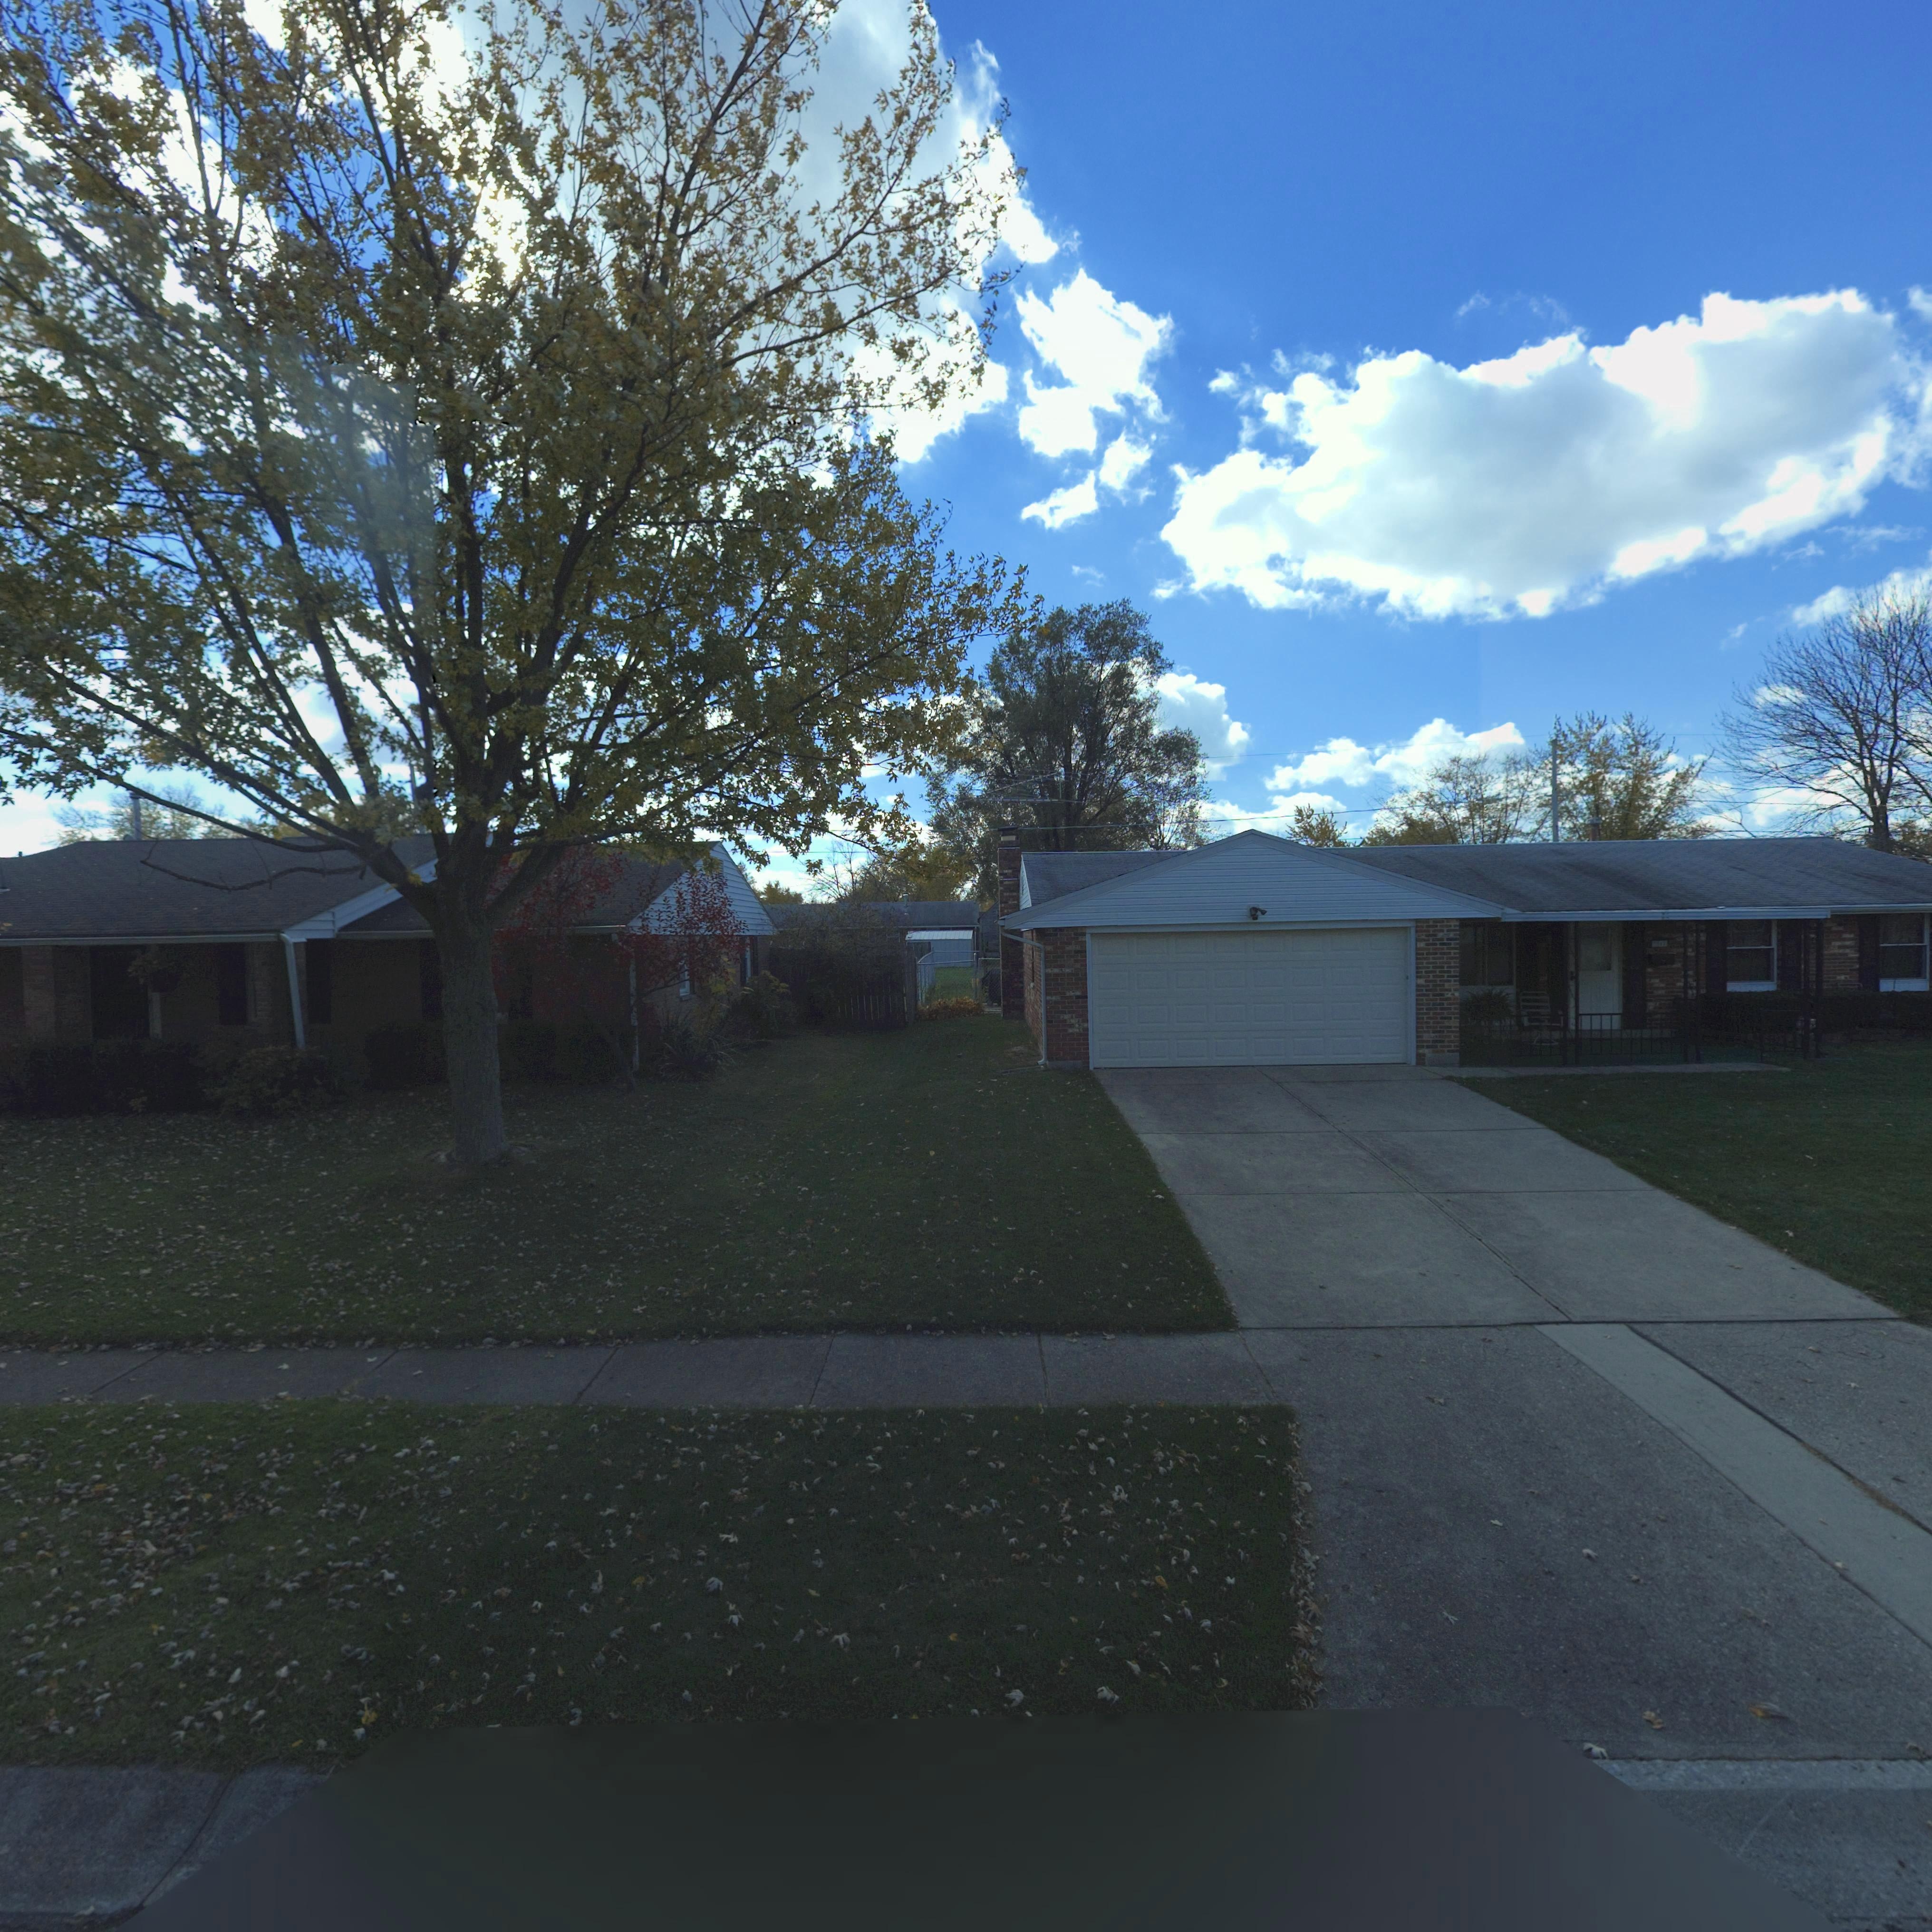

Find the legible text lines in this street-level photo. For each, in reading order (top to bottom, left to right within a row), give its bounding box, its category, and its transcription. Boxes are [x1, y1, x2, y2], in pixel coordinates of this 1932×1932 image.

[1651, 941, 1666, 947] StreetNumber: **4*